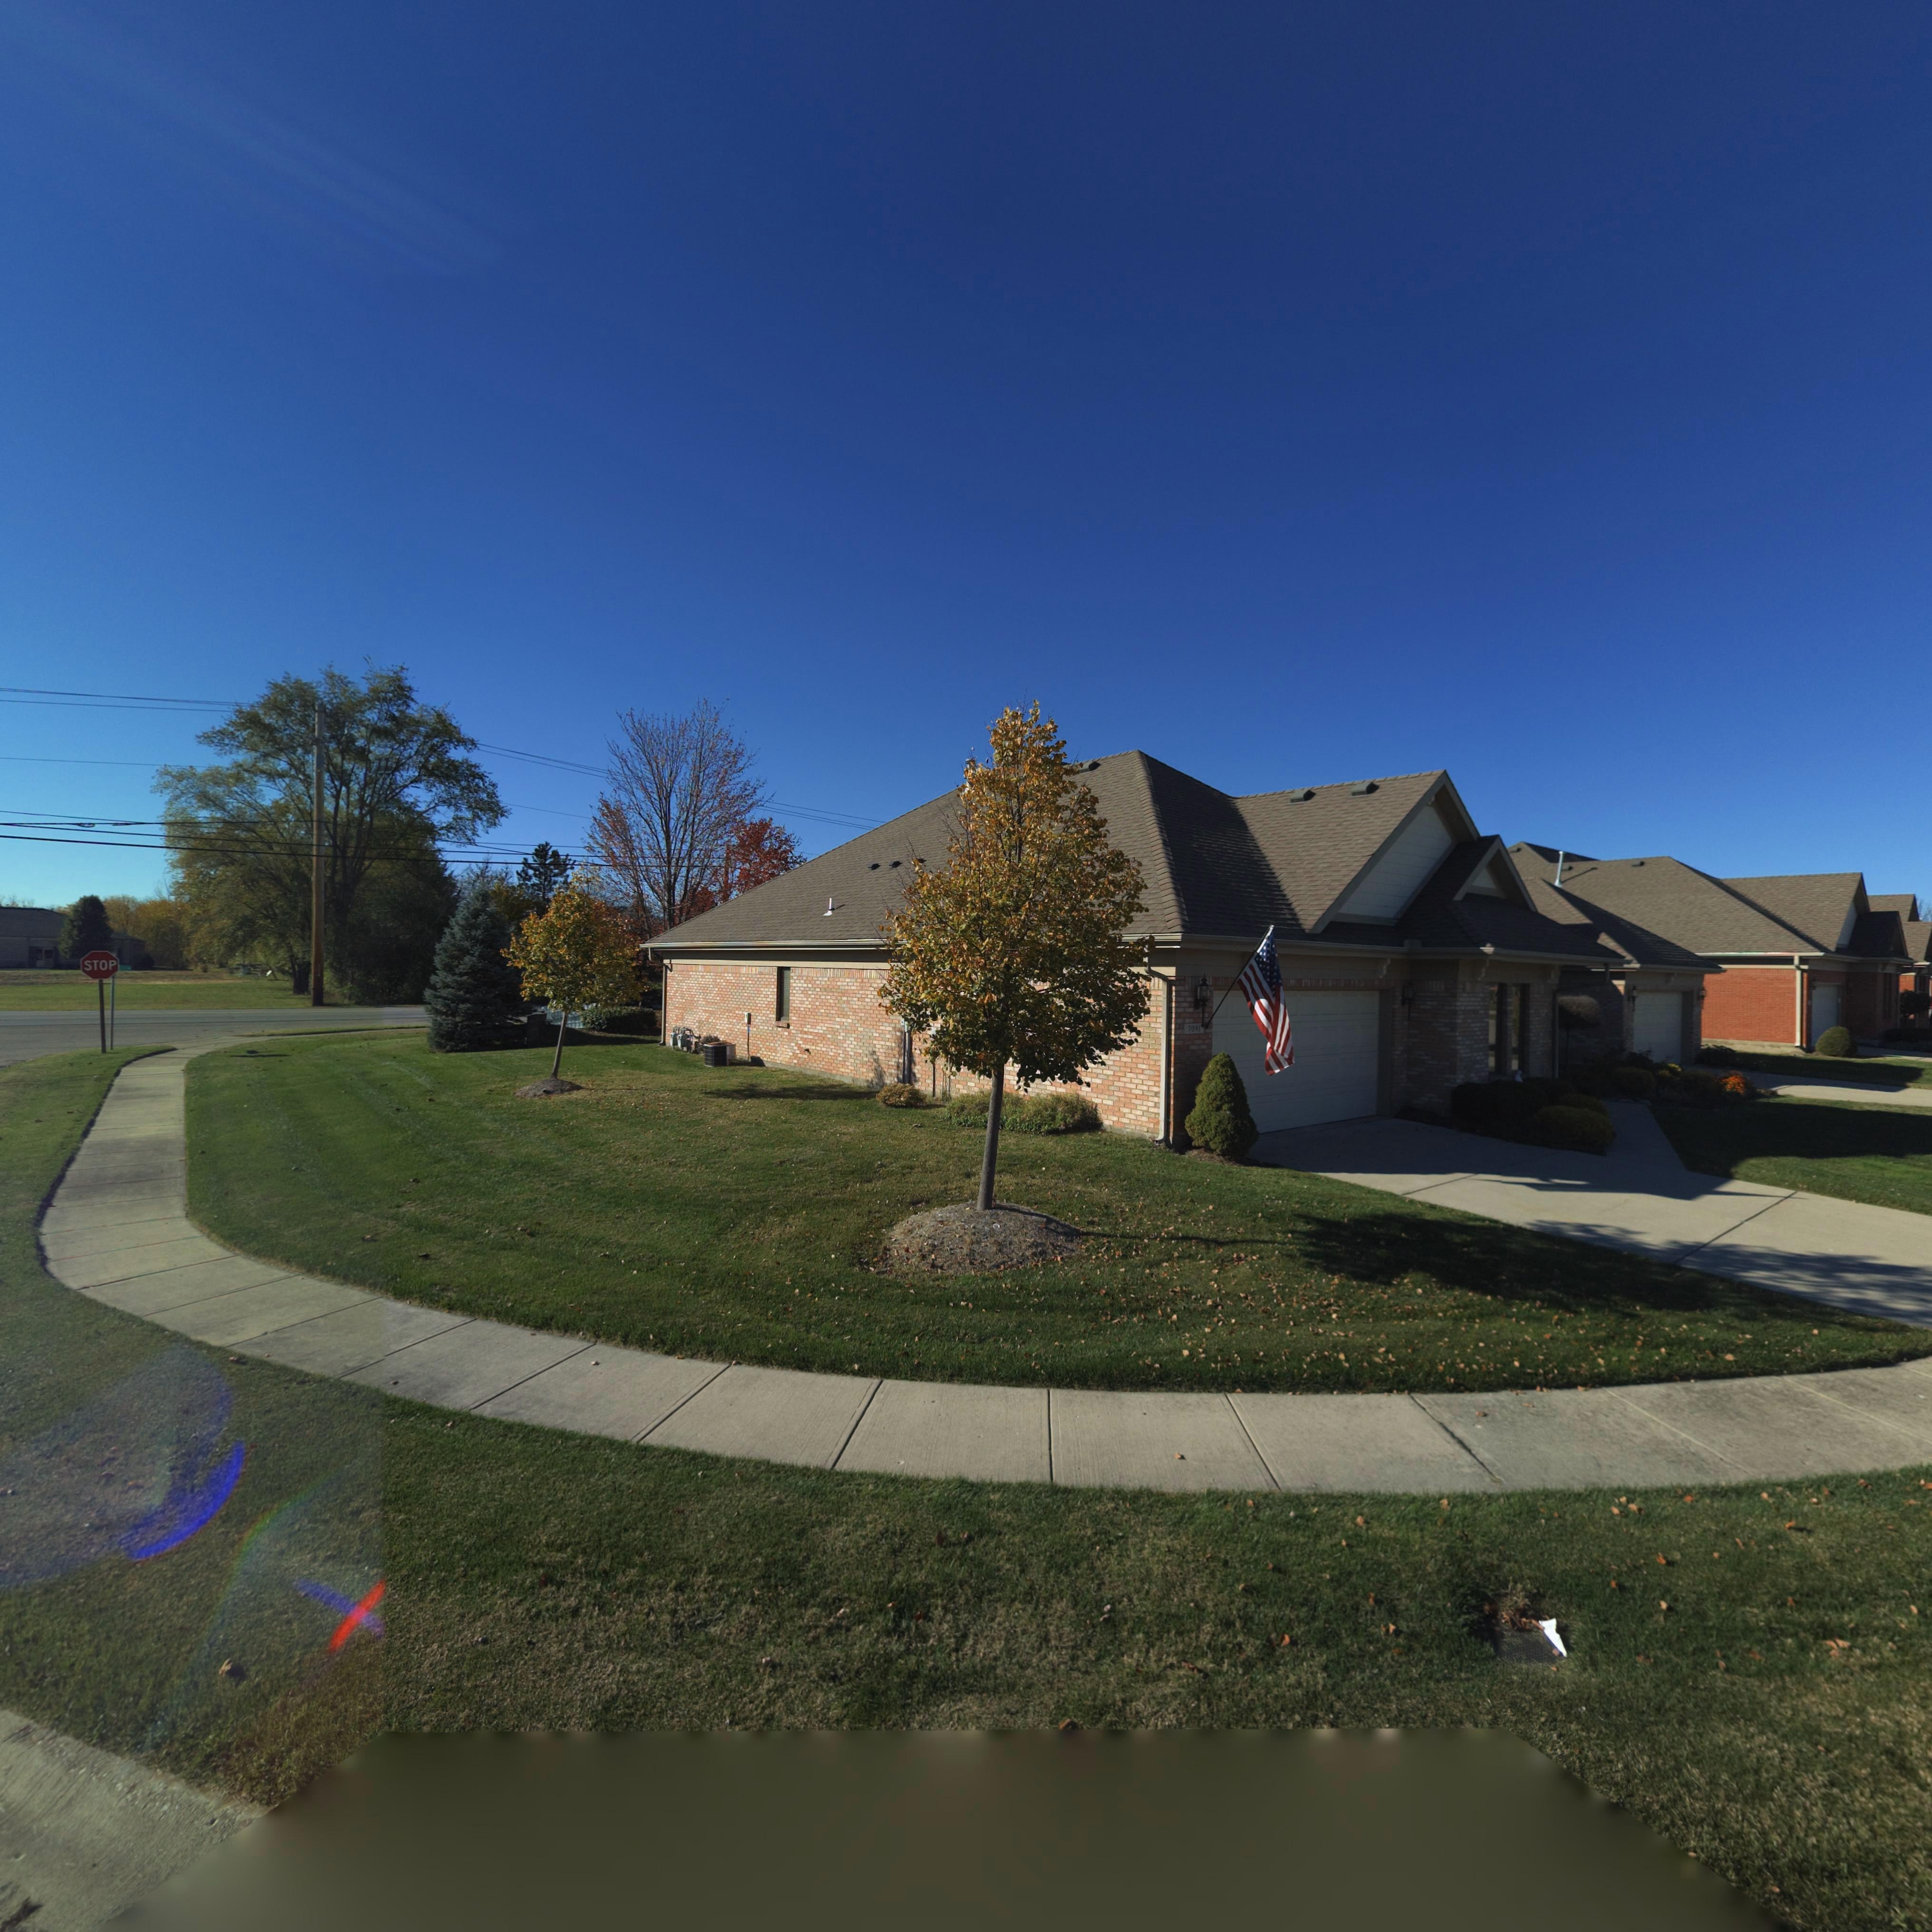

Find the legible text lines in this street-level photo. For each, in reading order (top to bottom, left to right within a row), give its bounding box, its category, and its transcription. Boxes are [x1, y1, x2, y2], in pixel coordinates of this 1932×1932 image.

[1188, 1024, 1201, 1033] StreetNumber: 7091